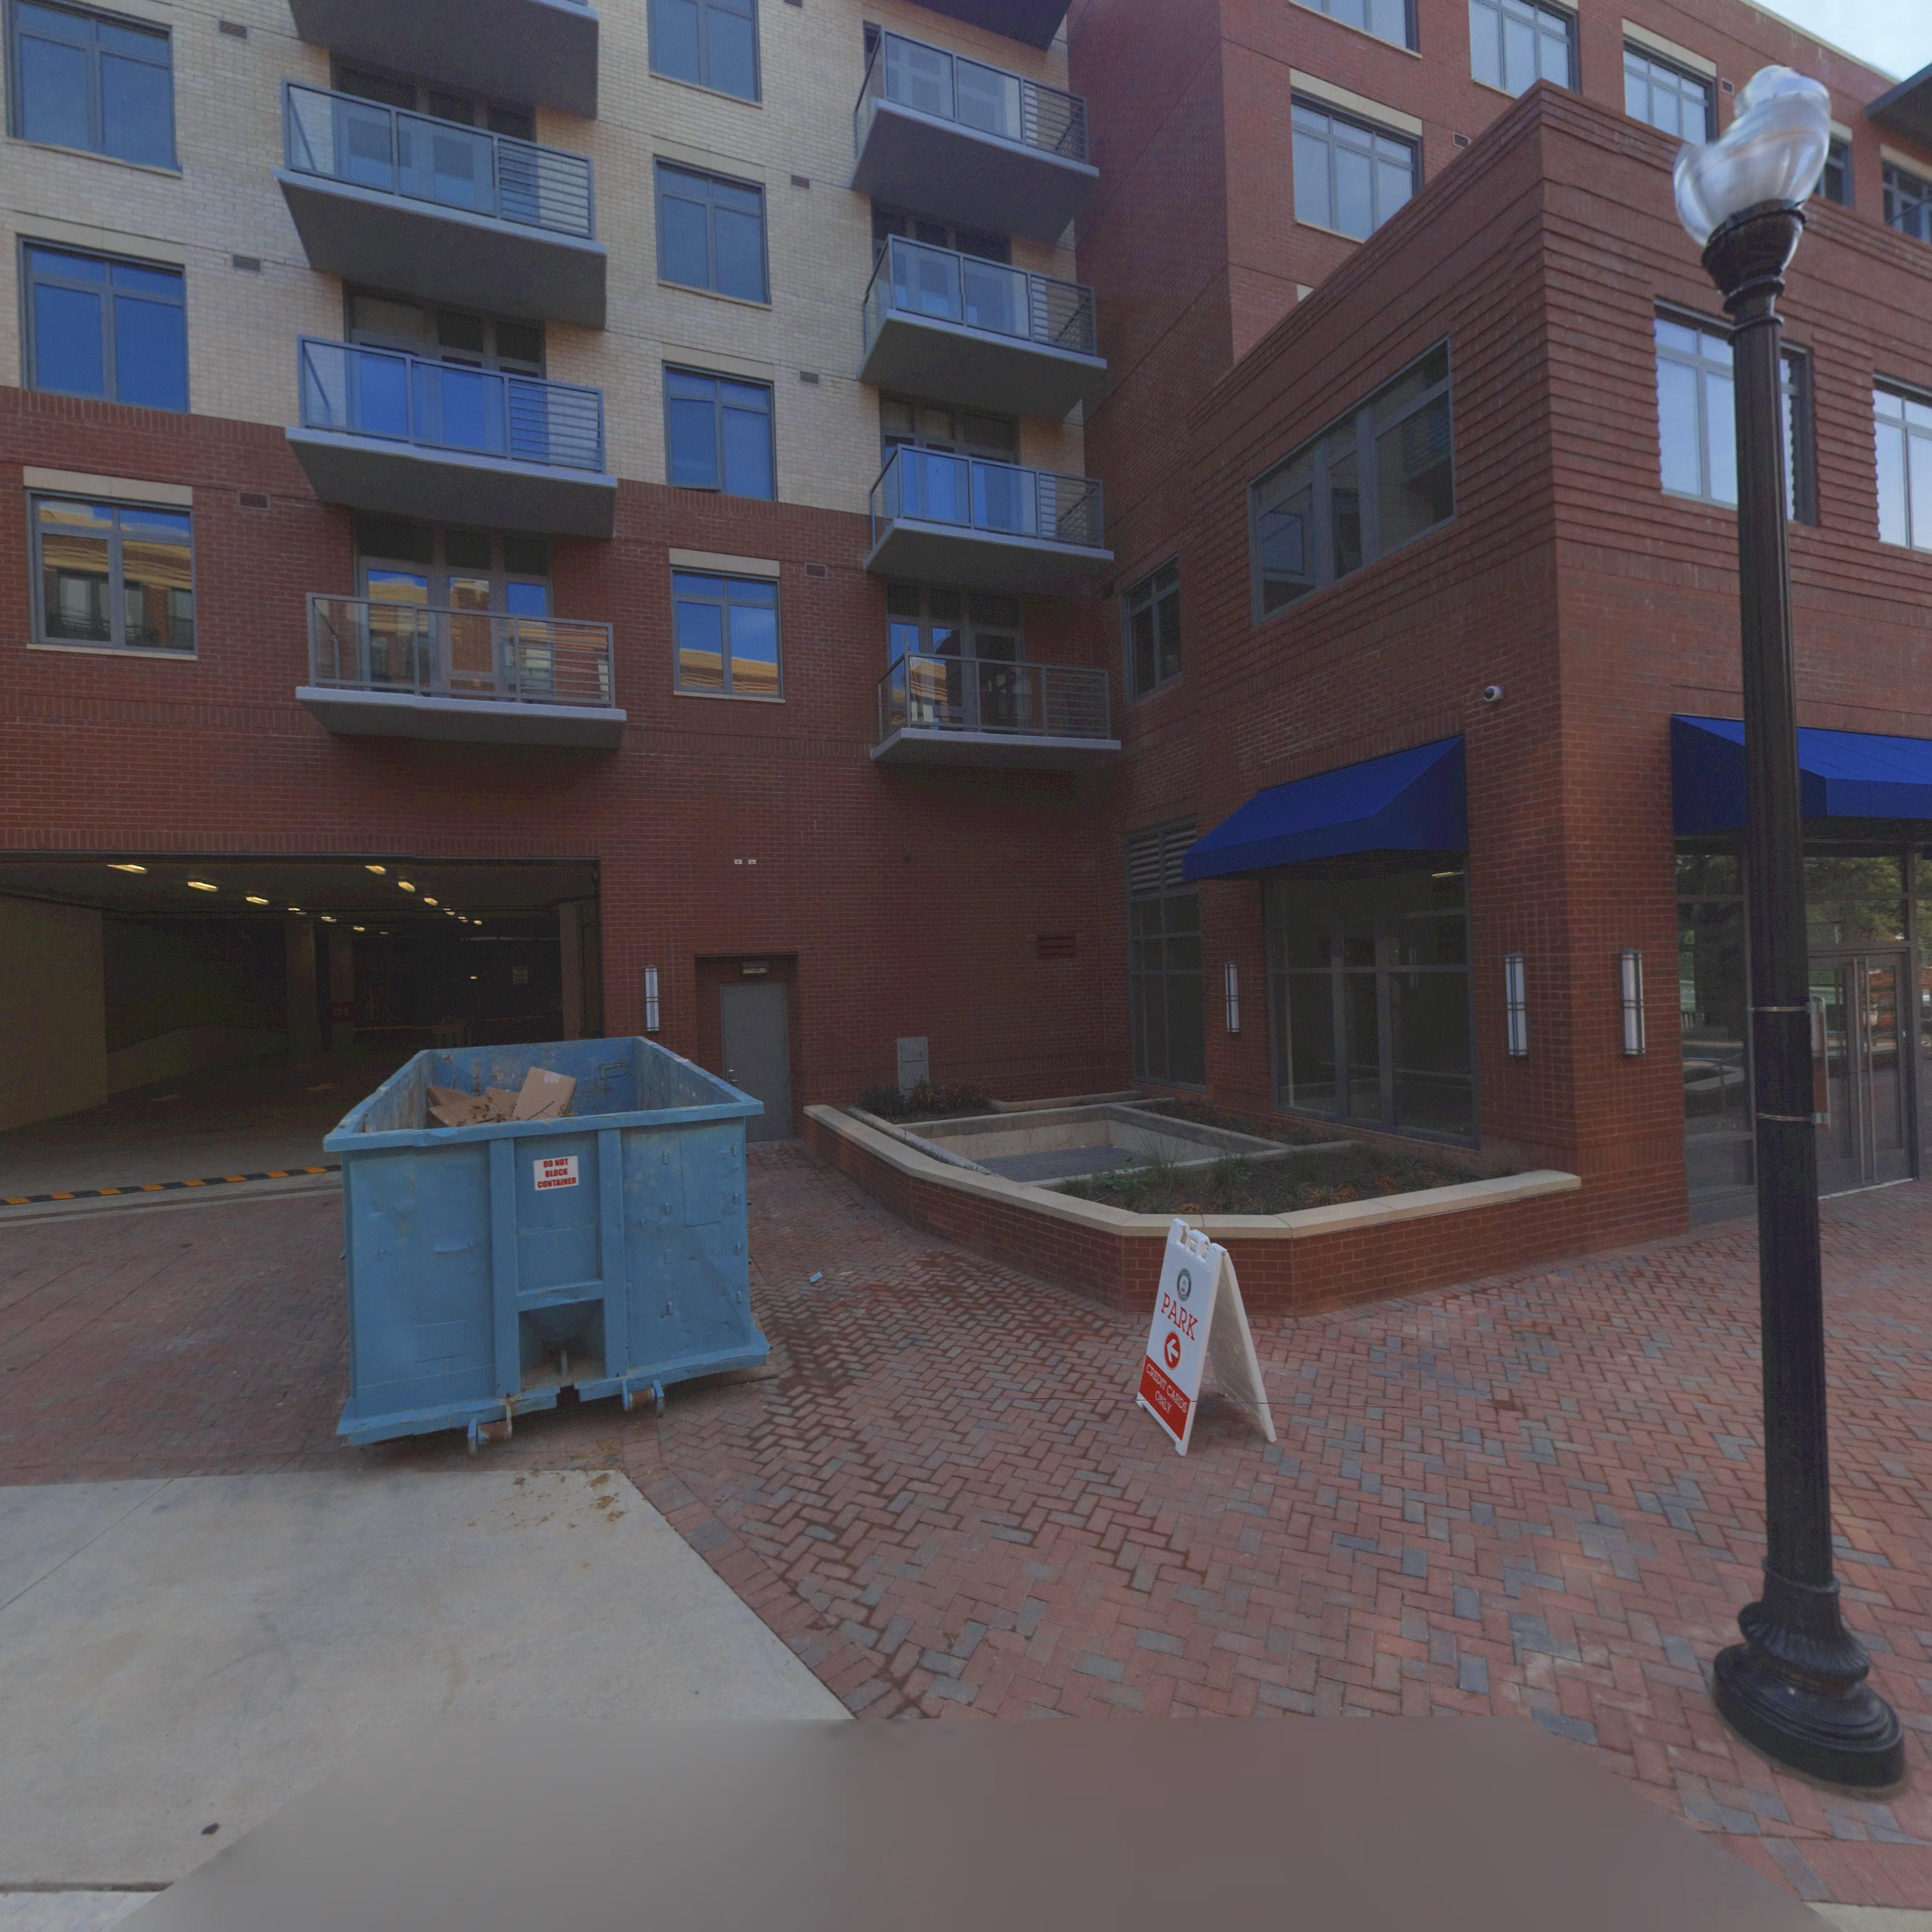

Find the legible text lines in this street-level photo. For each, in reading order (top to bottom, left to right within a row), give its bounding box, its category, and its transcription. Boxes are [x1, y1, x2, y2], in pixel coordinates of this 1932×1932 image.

[542, 1157, 570, 1169] None: DO NOT
[544, 1167, 570, 1179] None: BLOCK
[536, 1176, 578, 1189] None: CONTAINER
[1159, 1290, 1199, 1344] None: PARK
[1145, 1360, 1188, 1415] None: CREDIT CA**S
[1154, 1390, 1174, 1415] None: N*LY